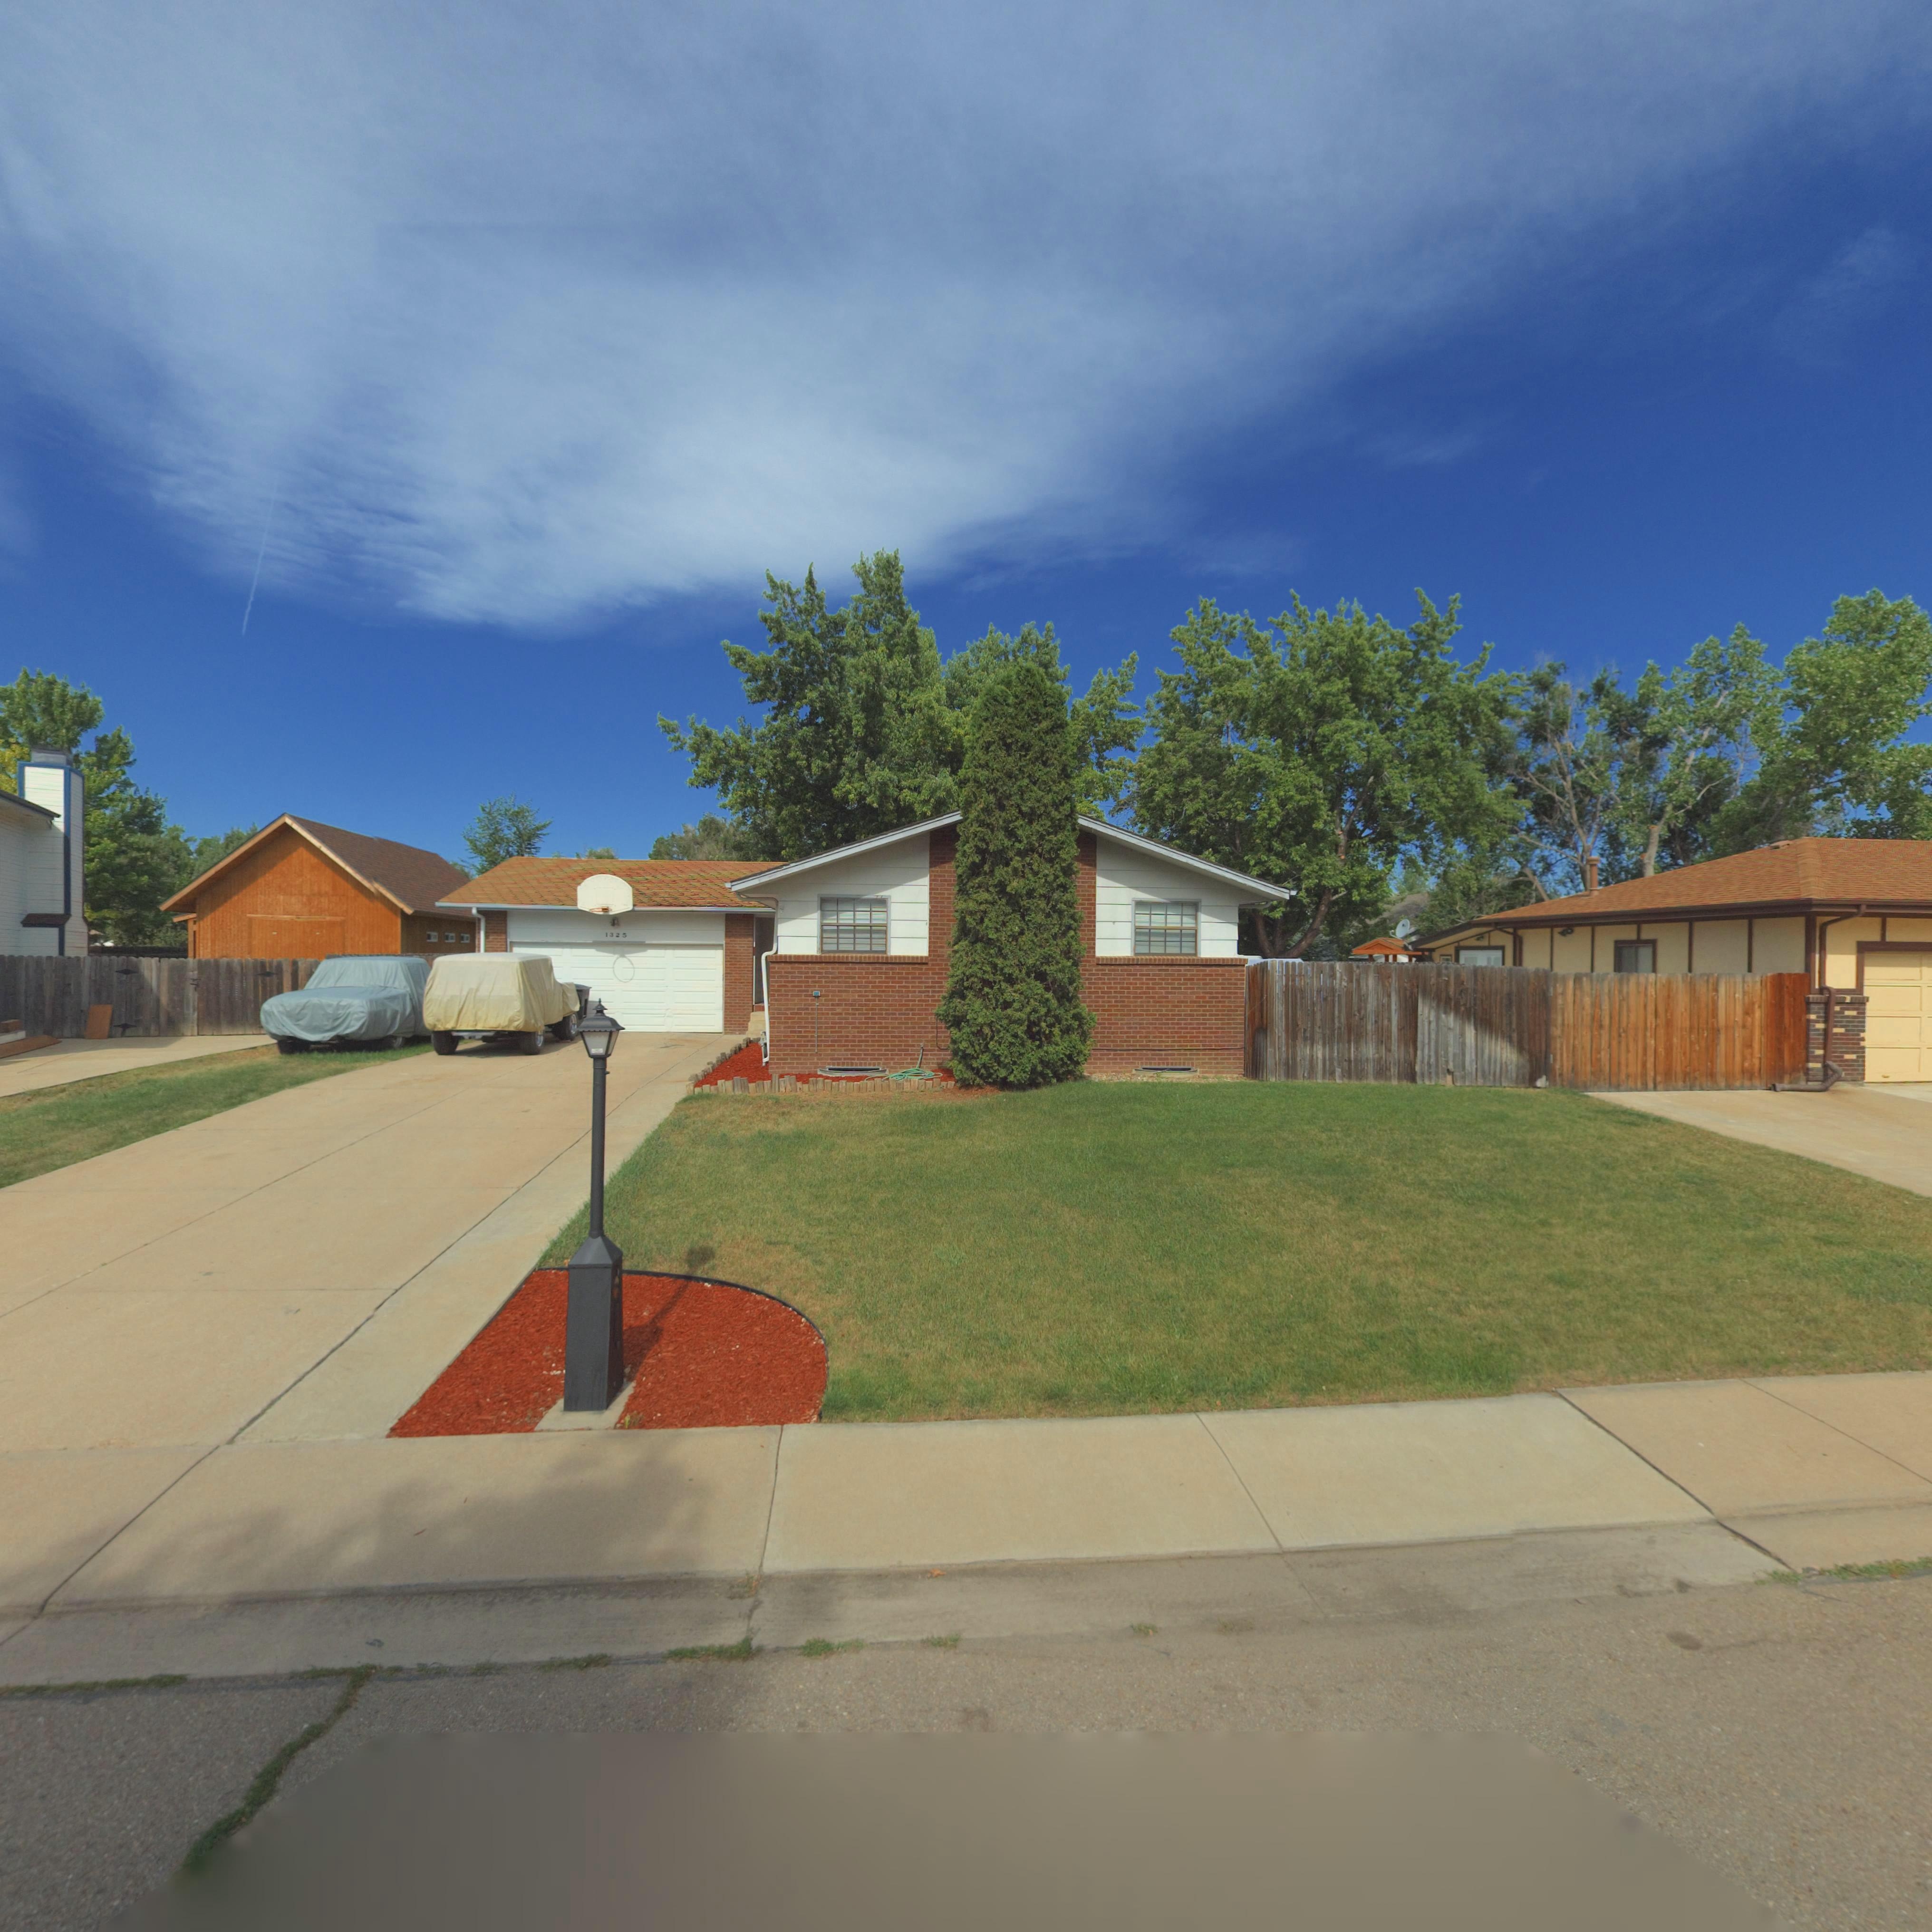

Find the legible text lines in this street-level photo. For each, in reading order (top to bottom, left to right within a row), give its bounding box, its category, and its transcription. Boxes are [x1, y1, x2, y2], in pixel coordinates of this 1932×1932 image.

[605, 931, 627, 938] StreetNumber: 1325